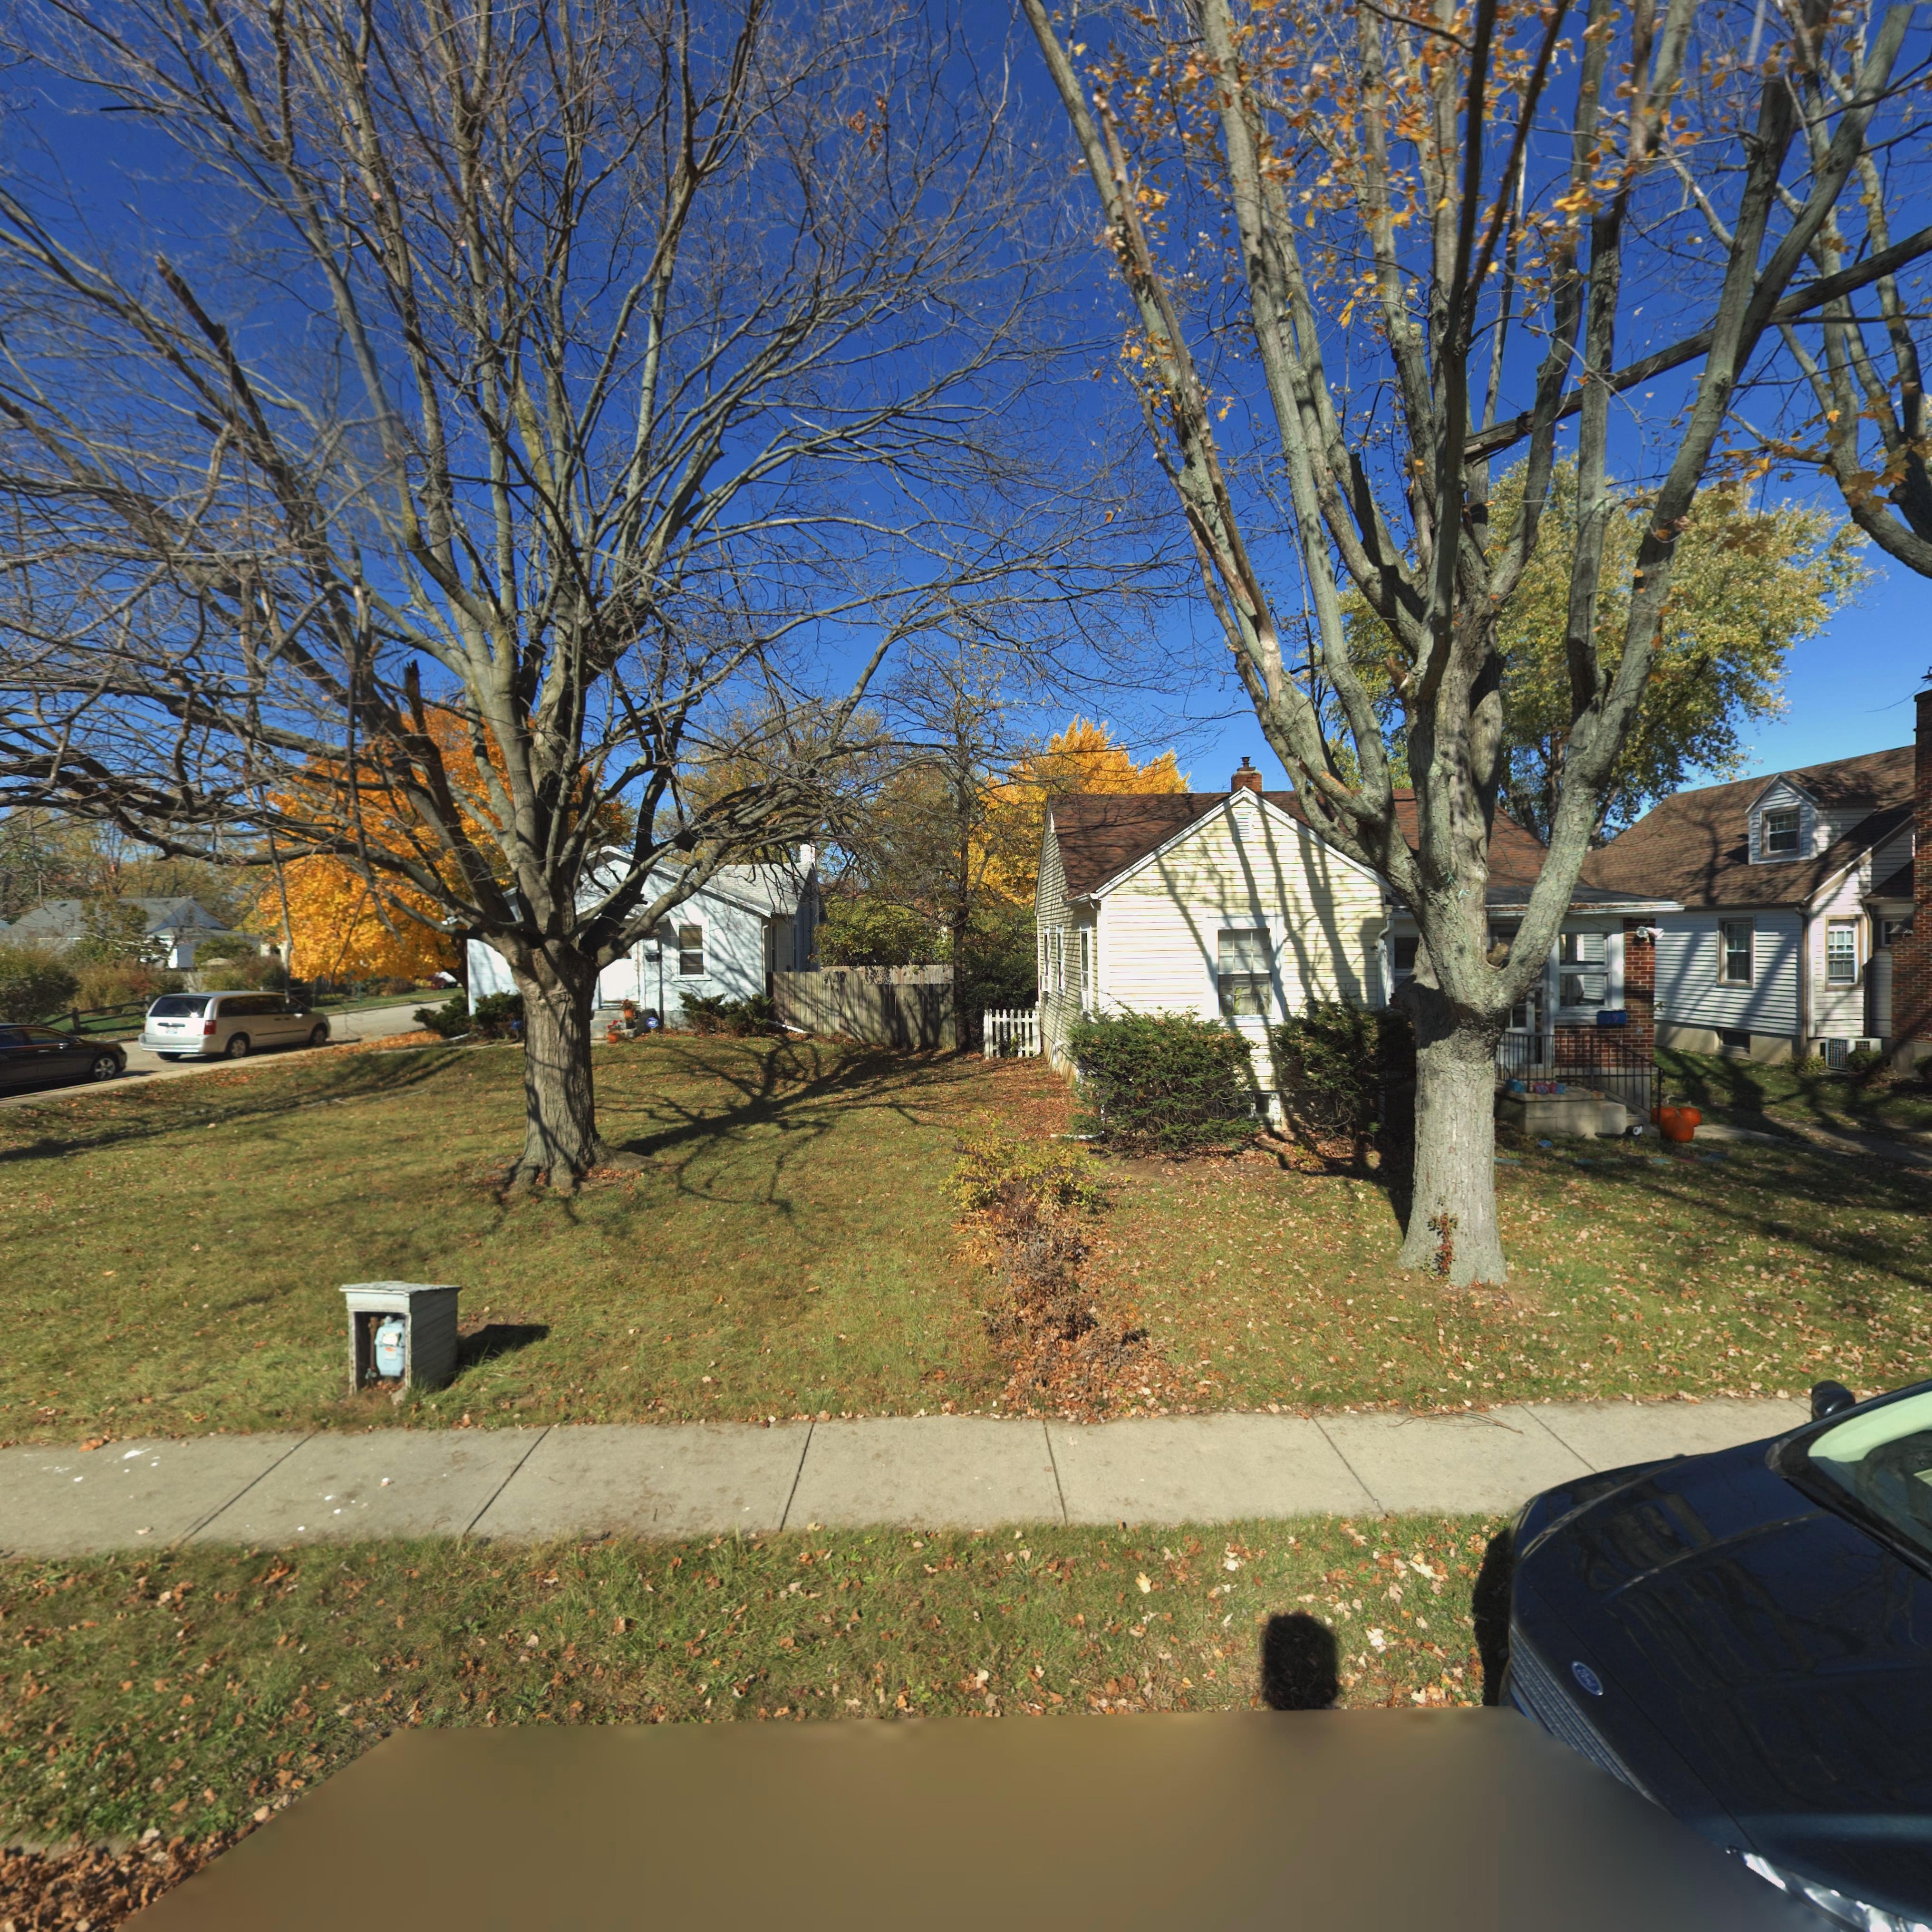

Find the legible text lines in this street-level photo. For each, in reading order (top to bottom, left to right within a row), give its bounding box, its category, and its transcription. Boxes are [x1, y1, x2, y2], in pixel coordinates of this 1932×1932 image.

[1606, 1014, 1620, 1024] StreetNumber: 29